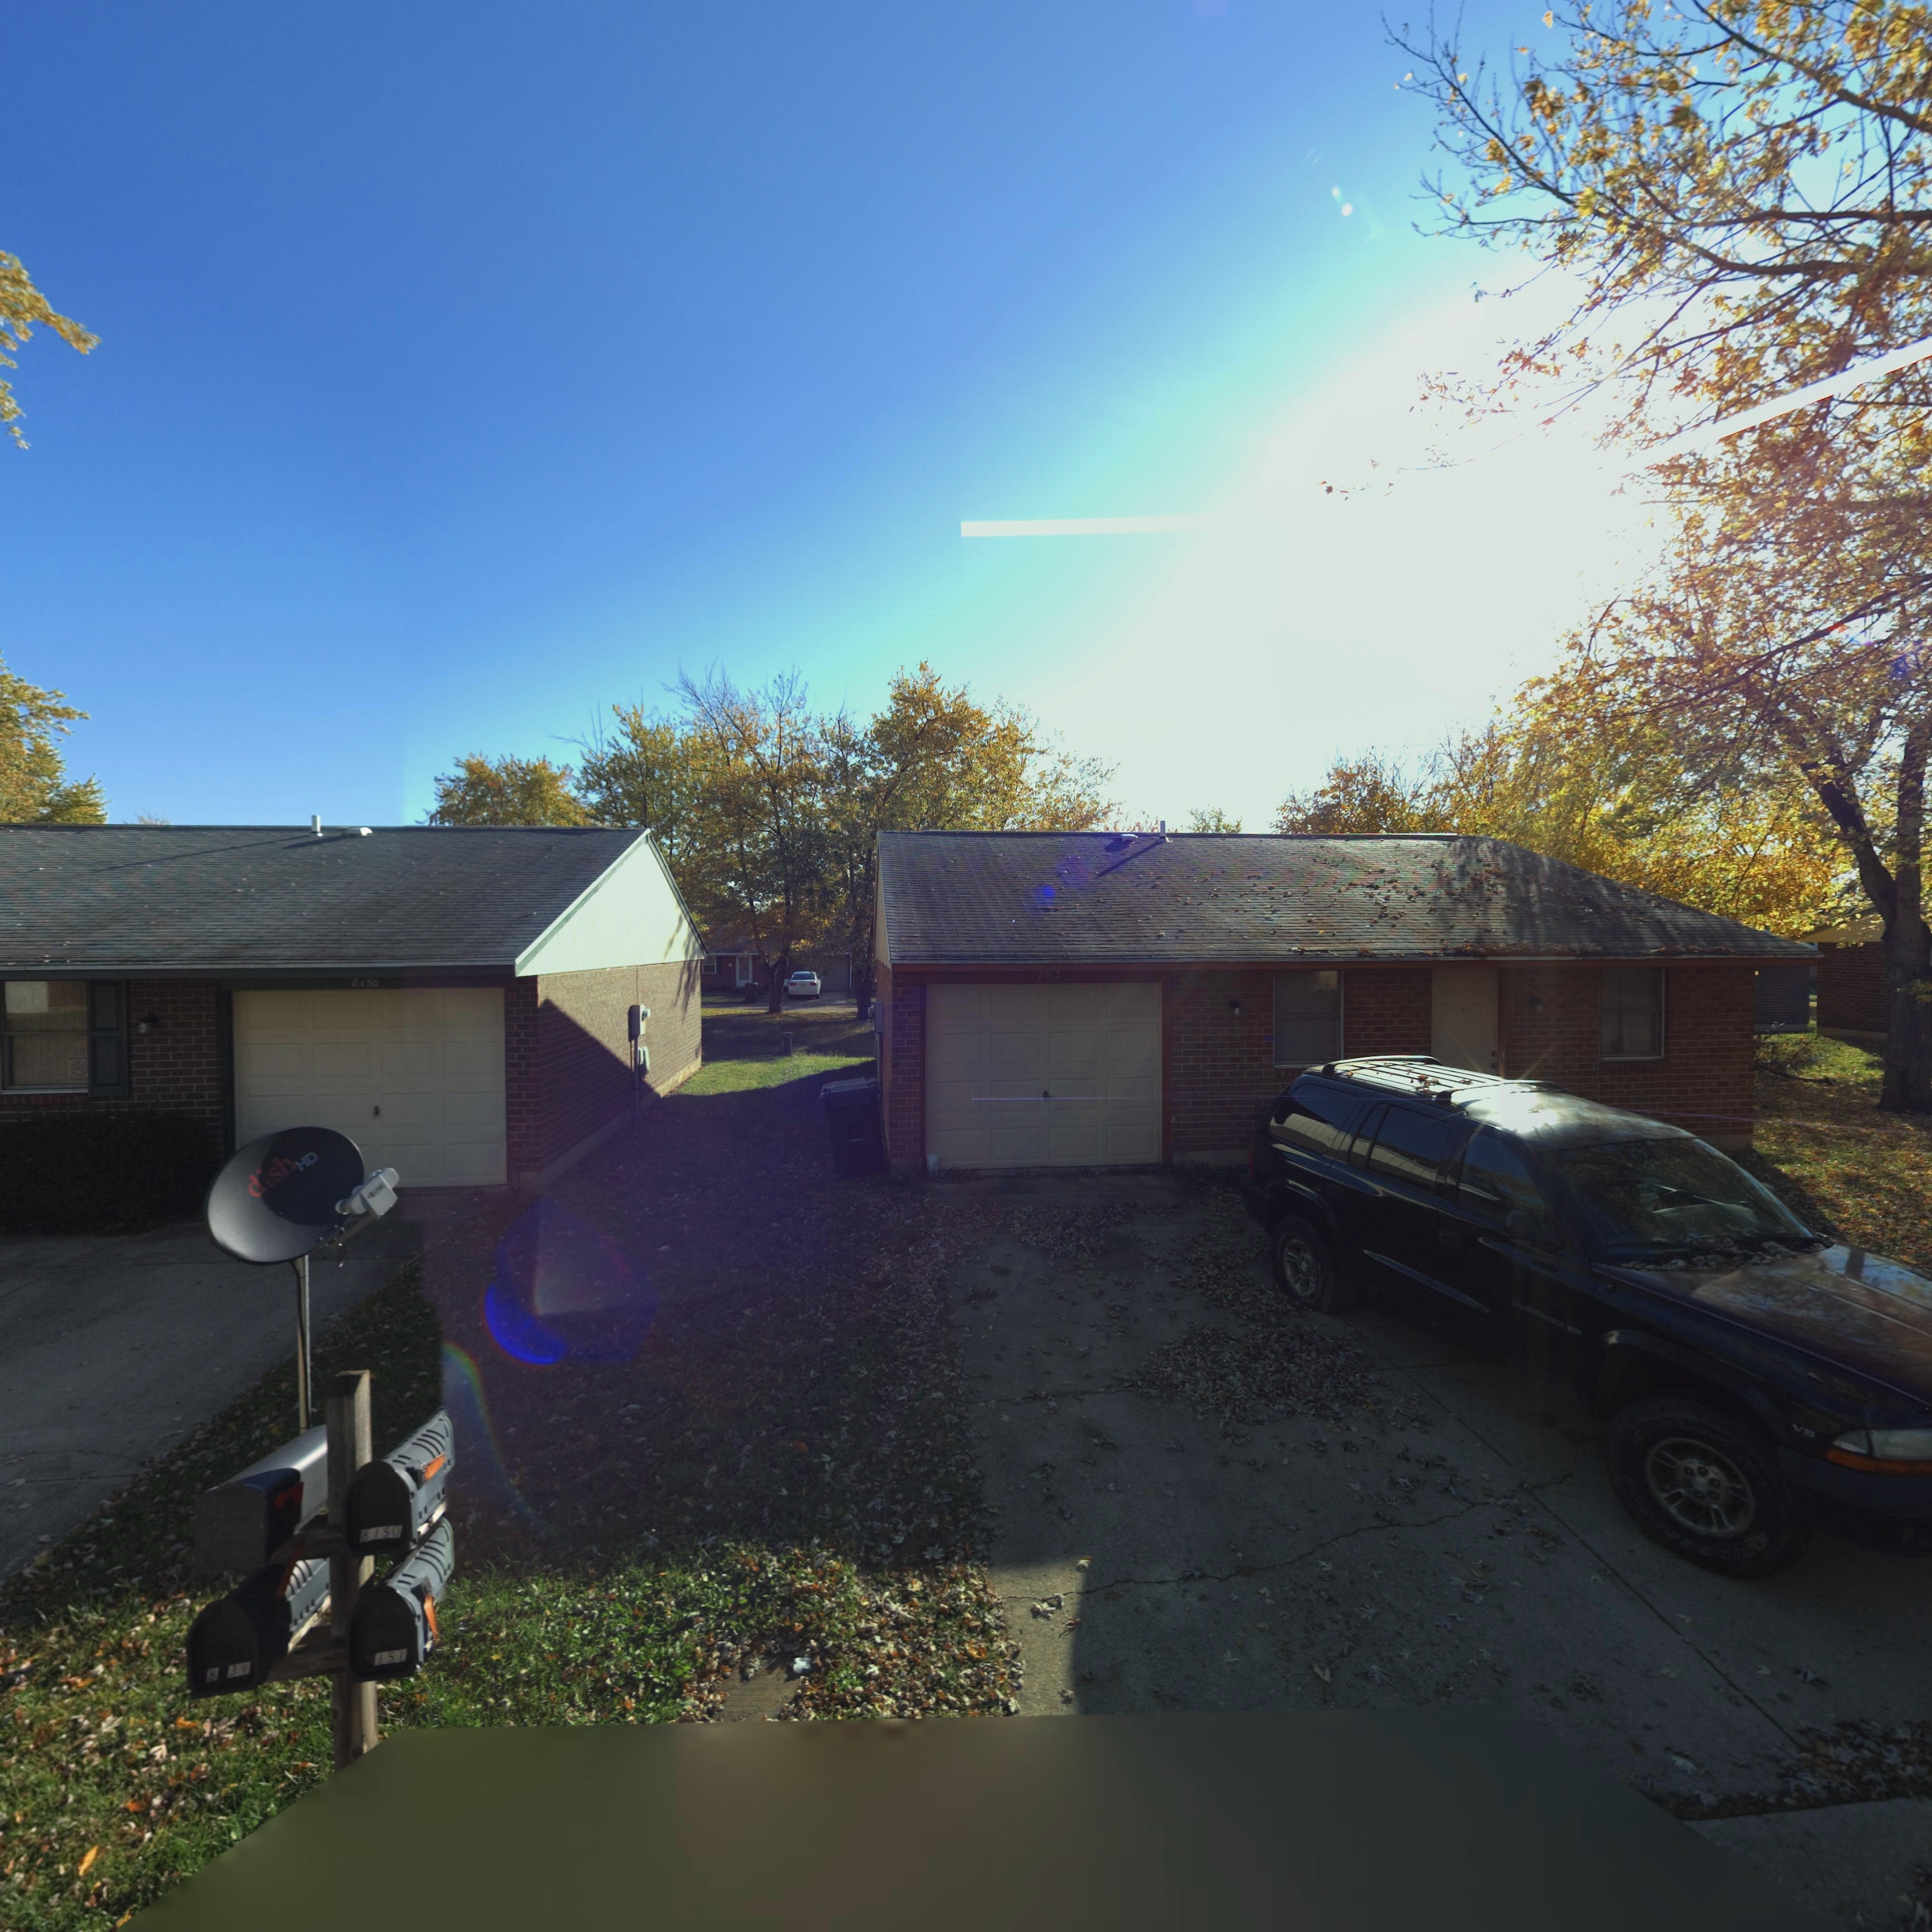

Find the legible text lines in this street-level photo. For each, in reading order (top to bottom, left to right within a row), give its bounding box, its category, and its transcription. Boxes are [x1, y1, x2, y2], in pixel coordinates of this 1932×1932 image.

[350, 976, 380, 989] StreetNumber: 8150
[1037, 969, 1062, 980] StreetNumber: 8142
[358, 1523, 403, 1543] StreetNumber: 8150
[377, 1649, 406, 1667] StreetNumber: 151
[206, 1661, 250, 1683] StreetNumber: 8*39